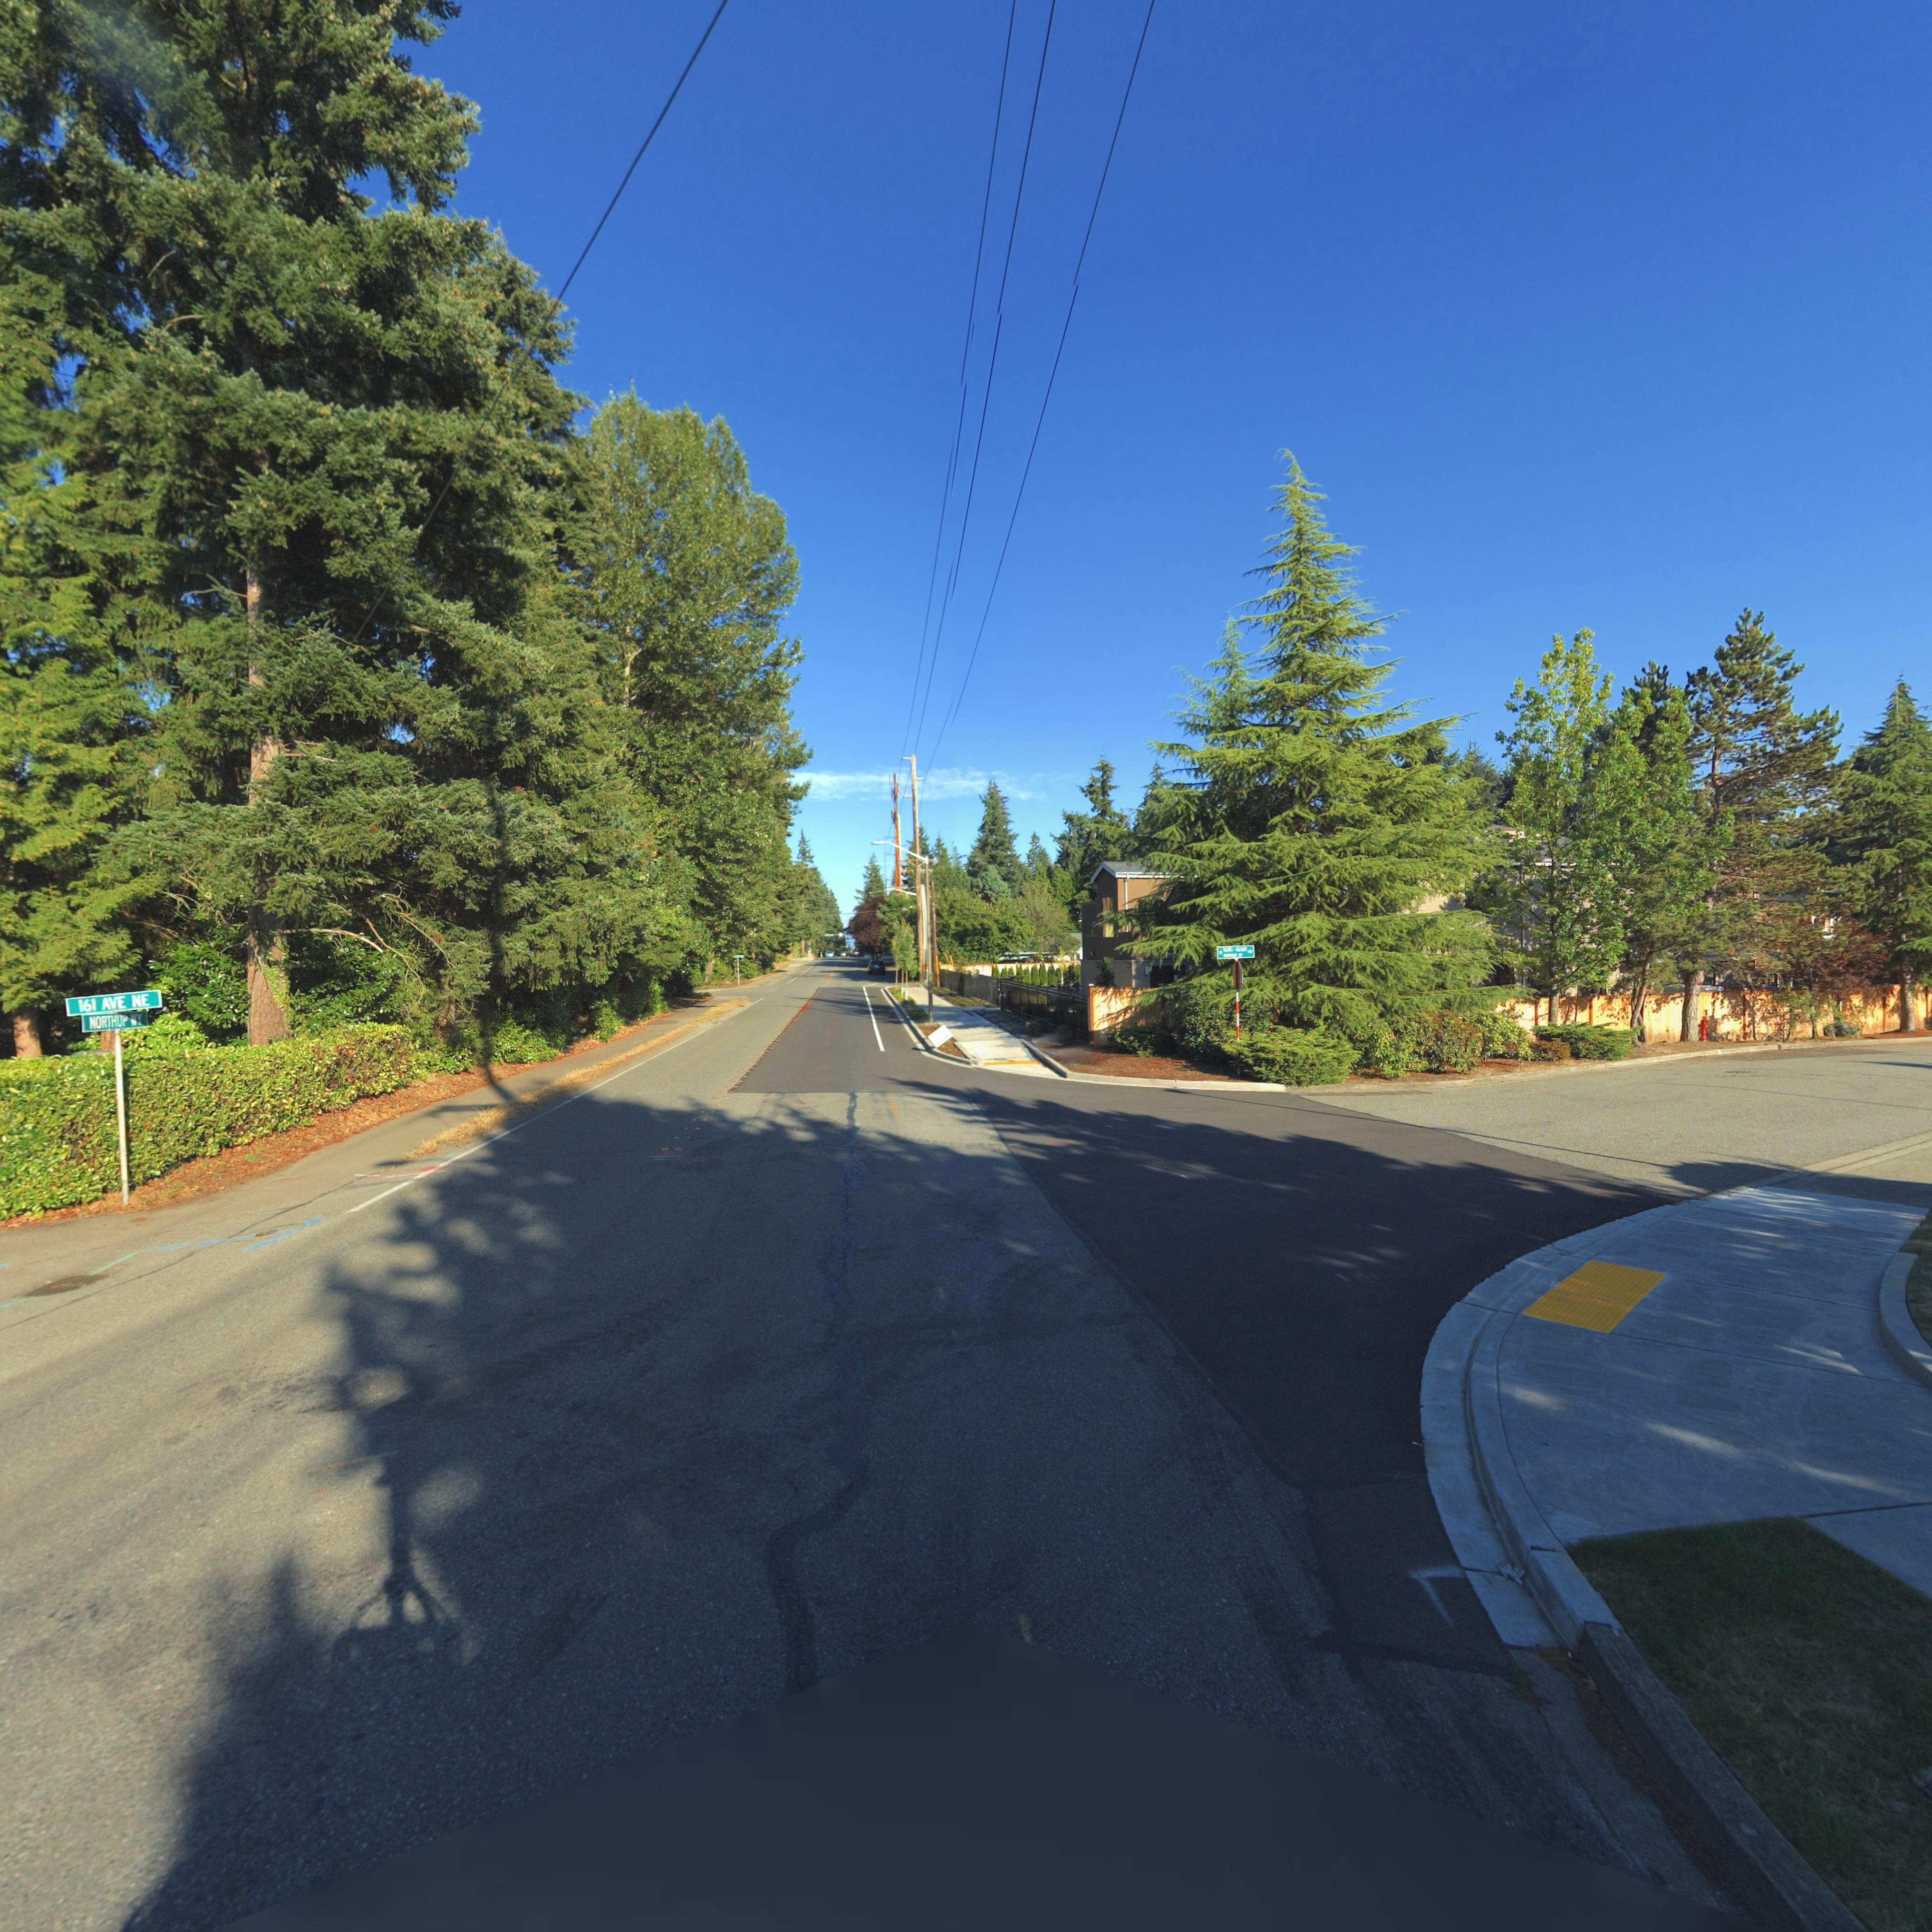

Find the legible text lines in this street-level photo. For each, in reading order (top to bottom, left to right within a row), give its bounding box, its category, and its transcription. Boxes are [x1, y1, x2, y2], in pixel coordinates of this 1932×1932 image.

[77, 993, 150, 1012] StreetName: 161 AVE NE
[89, 1013, 142, 1029] StreetName: NORTHUP WY